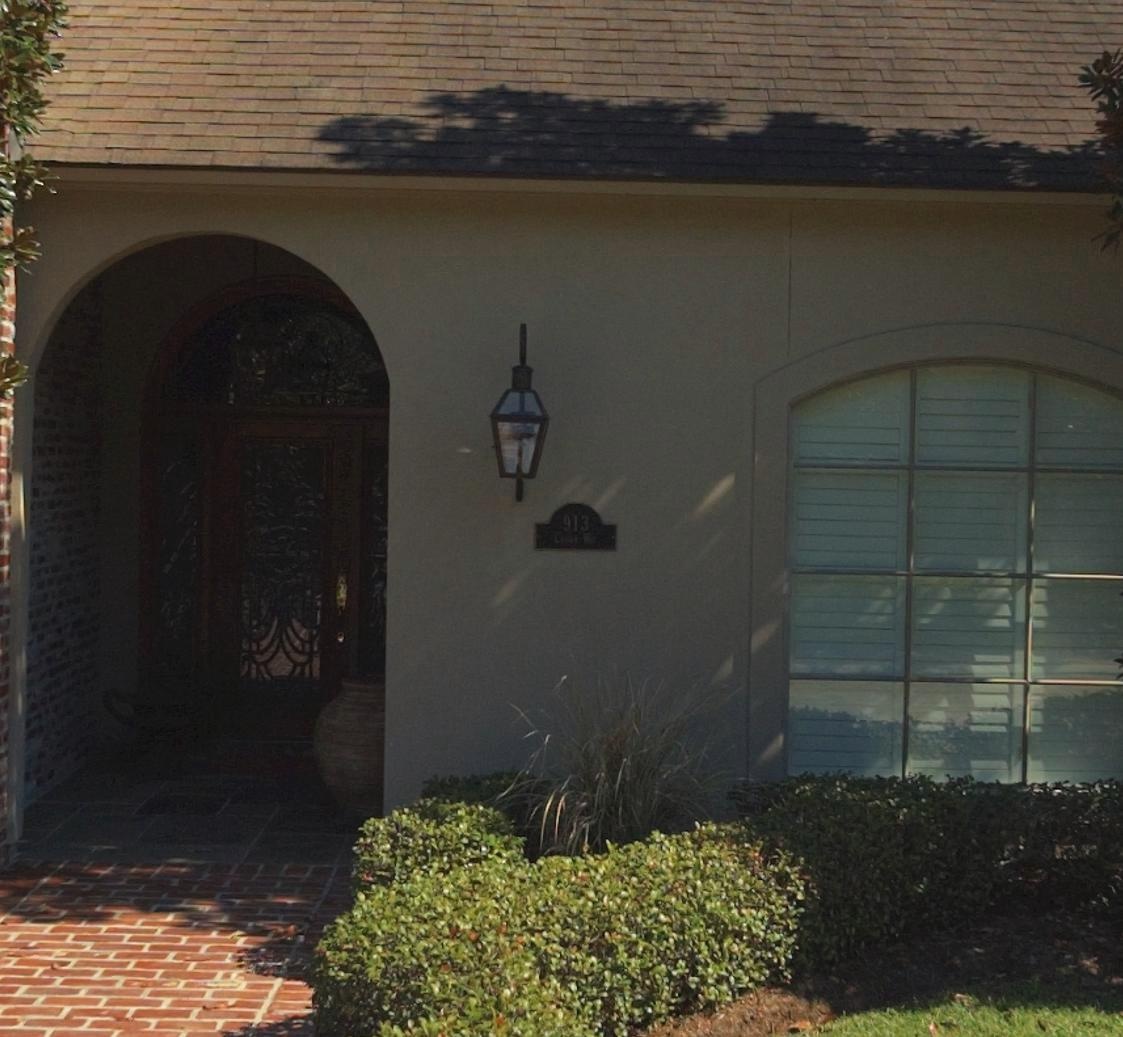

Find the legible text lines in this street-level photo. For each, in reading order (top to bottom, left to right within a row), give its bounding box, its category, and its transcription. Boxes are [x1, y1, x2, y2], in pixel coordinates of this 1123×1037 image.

[560, 513, 592, 534] StreetNumber: 913